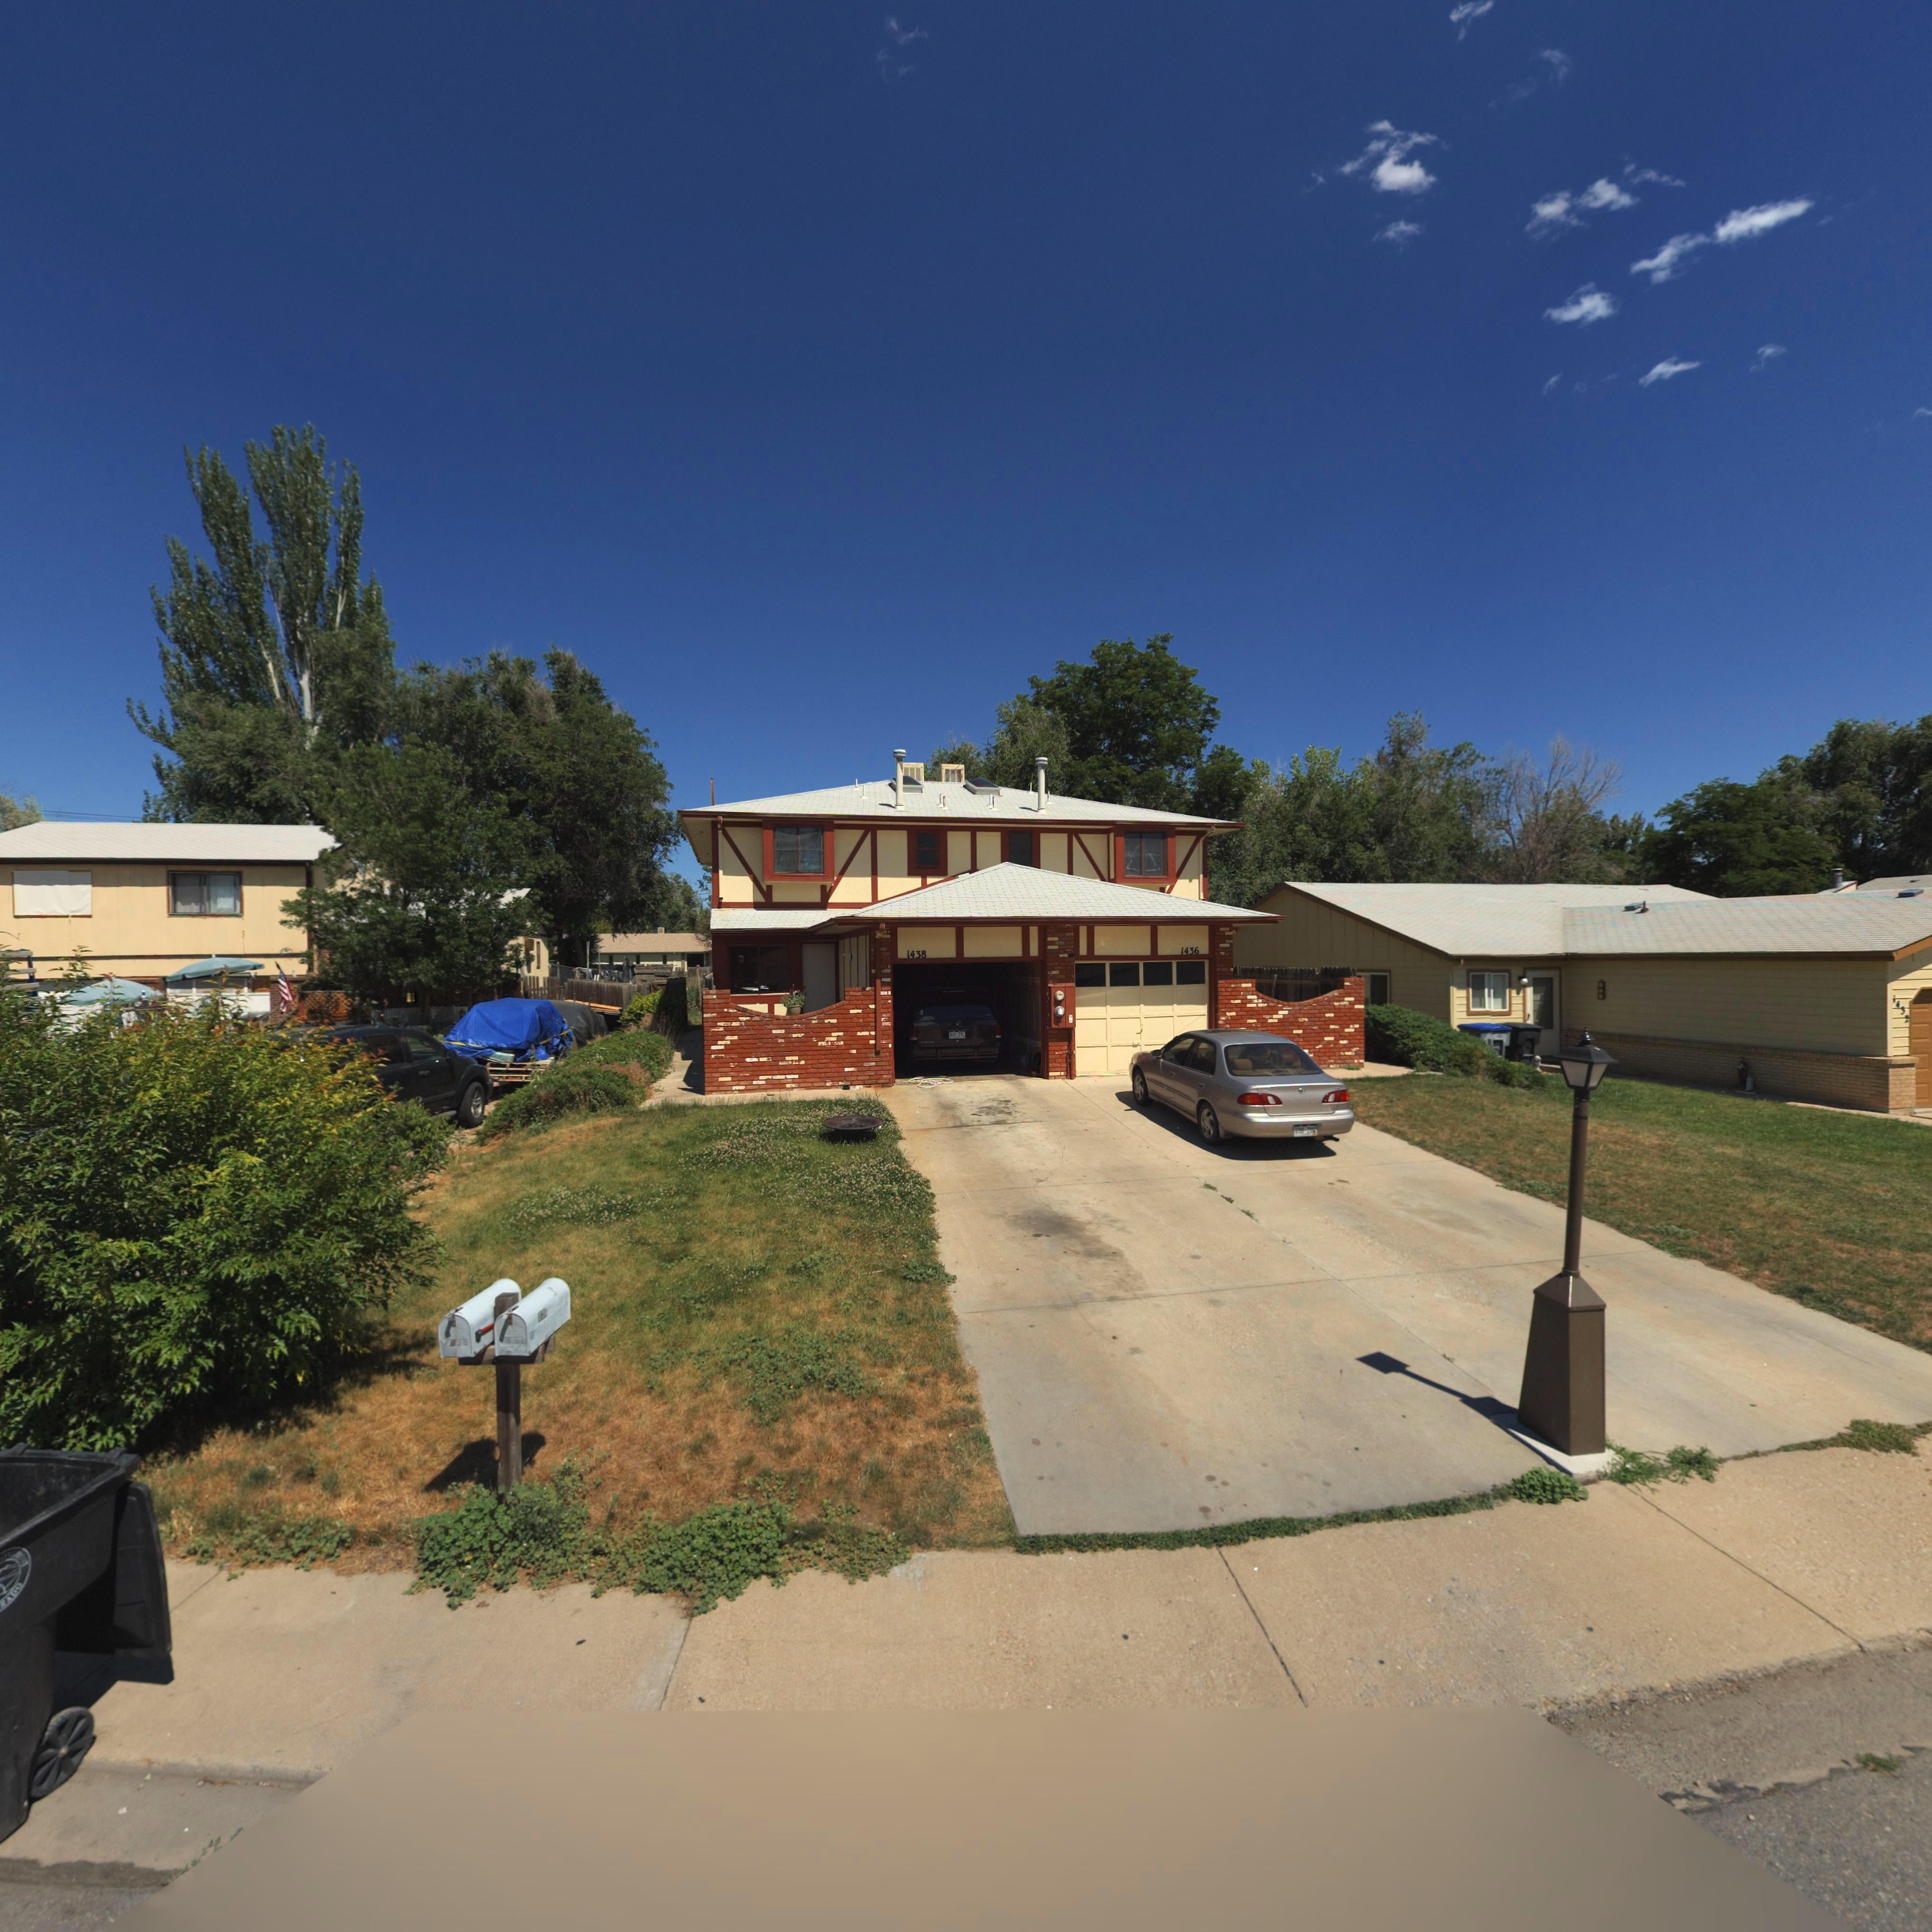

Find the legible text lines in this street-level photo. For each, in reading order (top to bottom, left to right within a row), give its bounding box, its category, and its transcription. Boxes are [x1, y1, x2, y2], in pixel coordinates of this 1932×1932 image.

[907, 950, 926, 958] StreetNumber: 1438
[1180, 947, 1199, 955] StreetNumber: 1436
[1893, 994, 1909, 1024] StreetNumber: 1432
[538, 1307, 547, 1322] StreetNumber: 43*